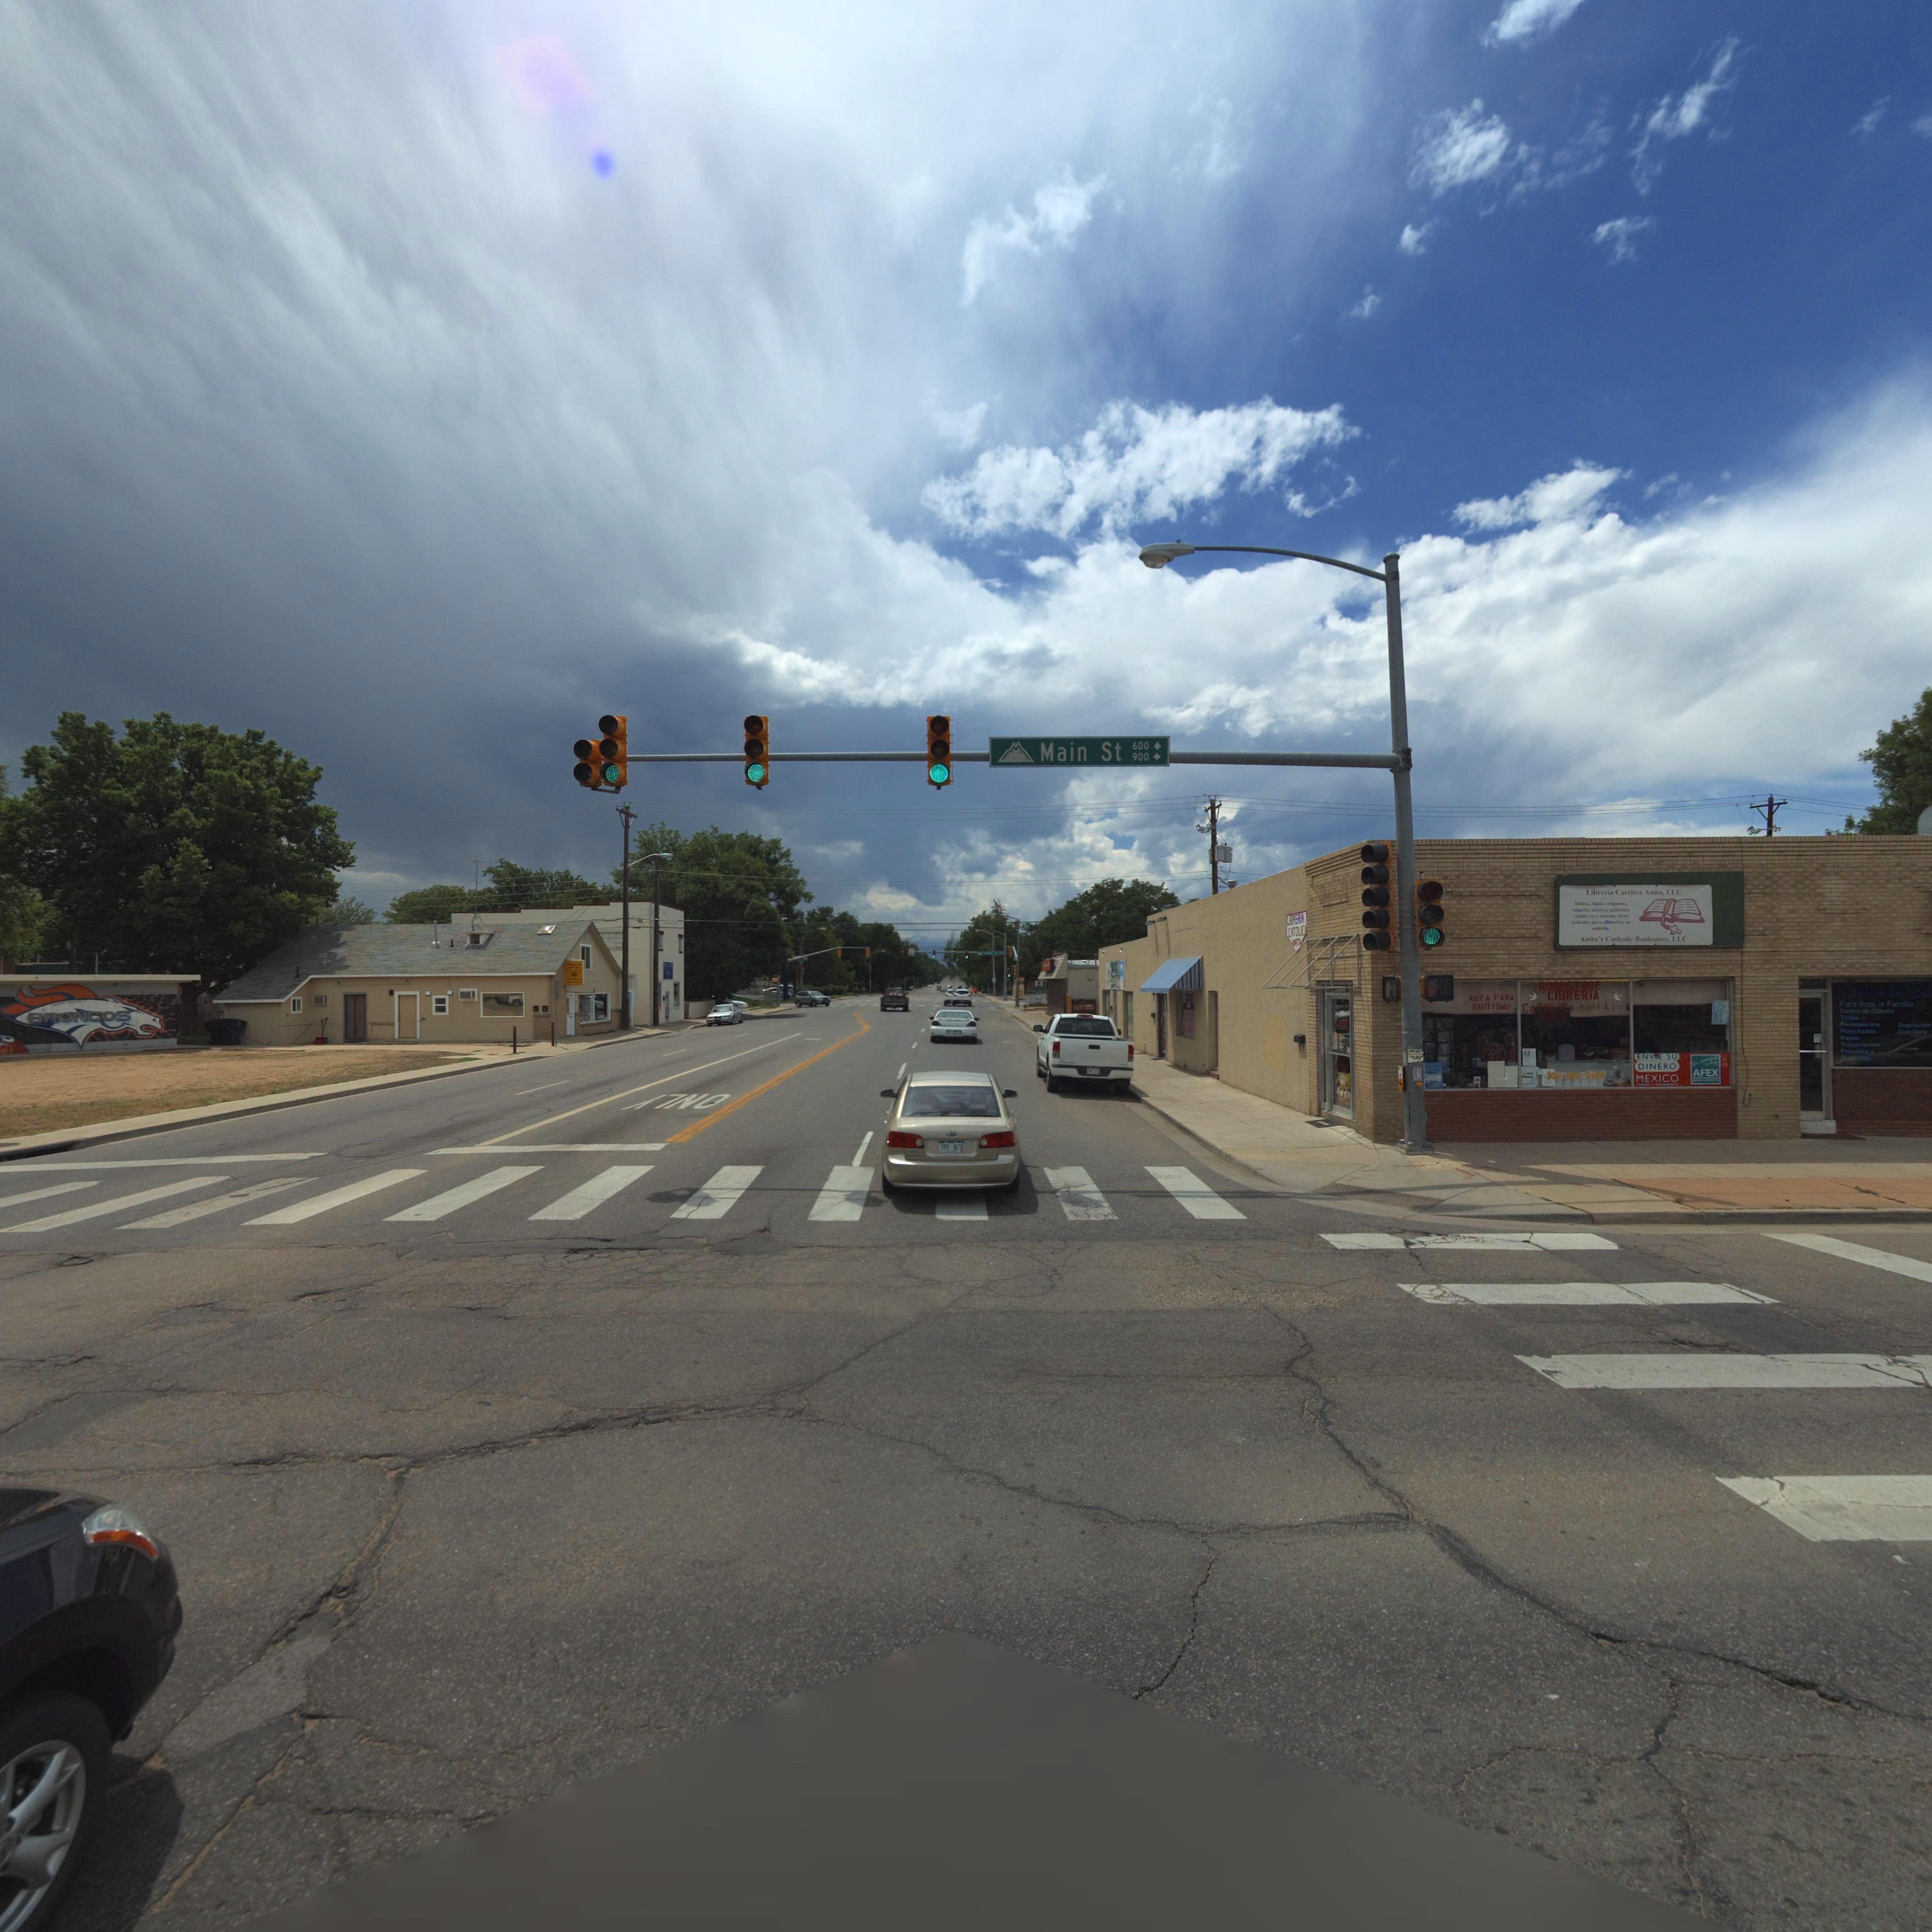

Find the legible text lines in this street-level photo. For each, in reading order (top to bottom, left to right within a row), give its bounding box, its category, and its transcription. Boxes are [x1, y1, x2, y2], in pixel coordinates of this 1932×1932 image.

[1133, 741, 1149, 750] StreetNumberRange: 600
[1040, 742, 1121, 762] StreetName: Main St
[1132, 752, 1160, 761] StreetNumberRange: 900 ->
[1586, 889, 1682, 895] BusinessName: Libreria Catholica Anita, LLC
[1287, 912, 1304, 926] BusinessName: LIBRERIA
[1288, 925, 1306, 937] BusinessName: CATHOLICA
[1291, 937, 1302, 946] BusinessName: ANITA
[1579, 936, 1689, 942] BusinessName: Antia's Catholic Bookstore, LLC